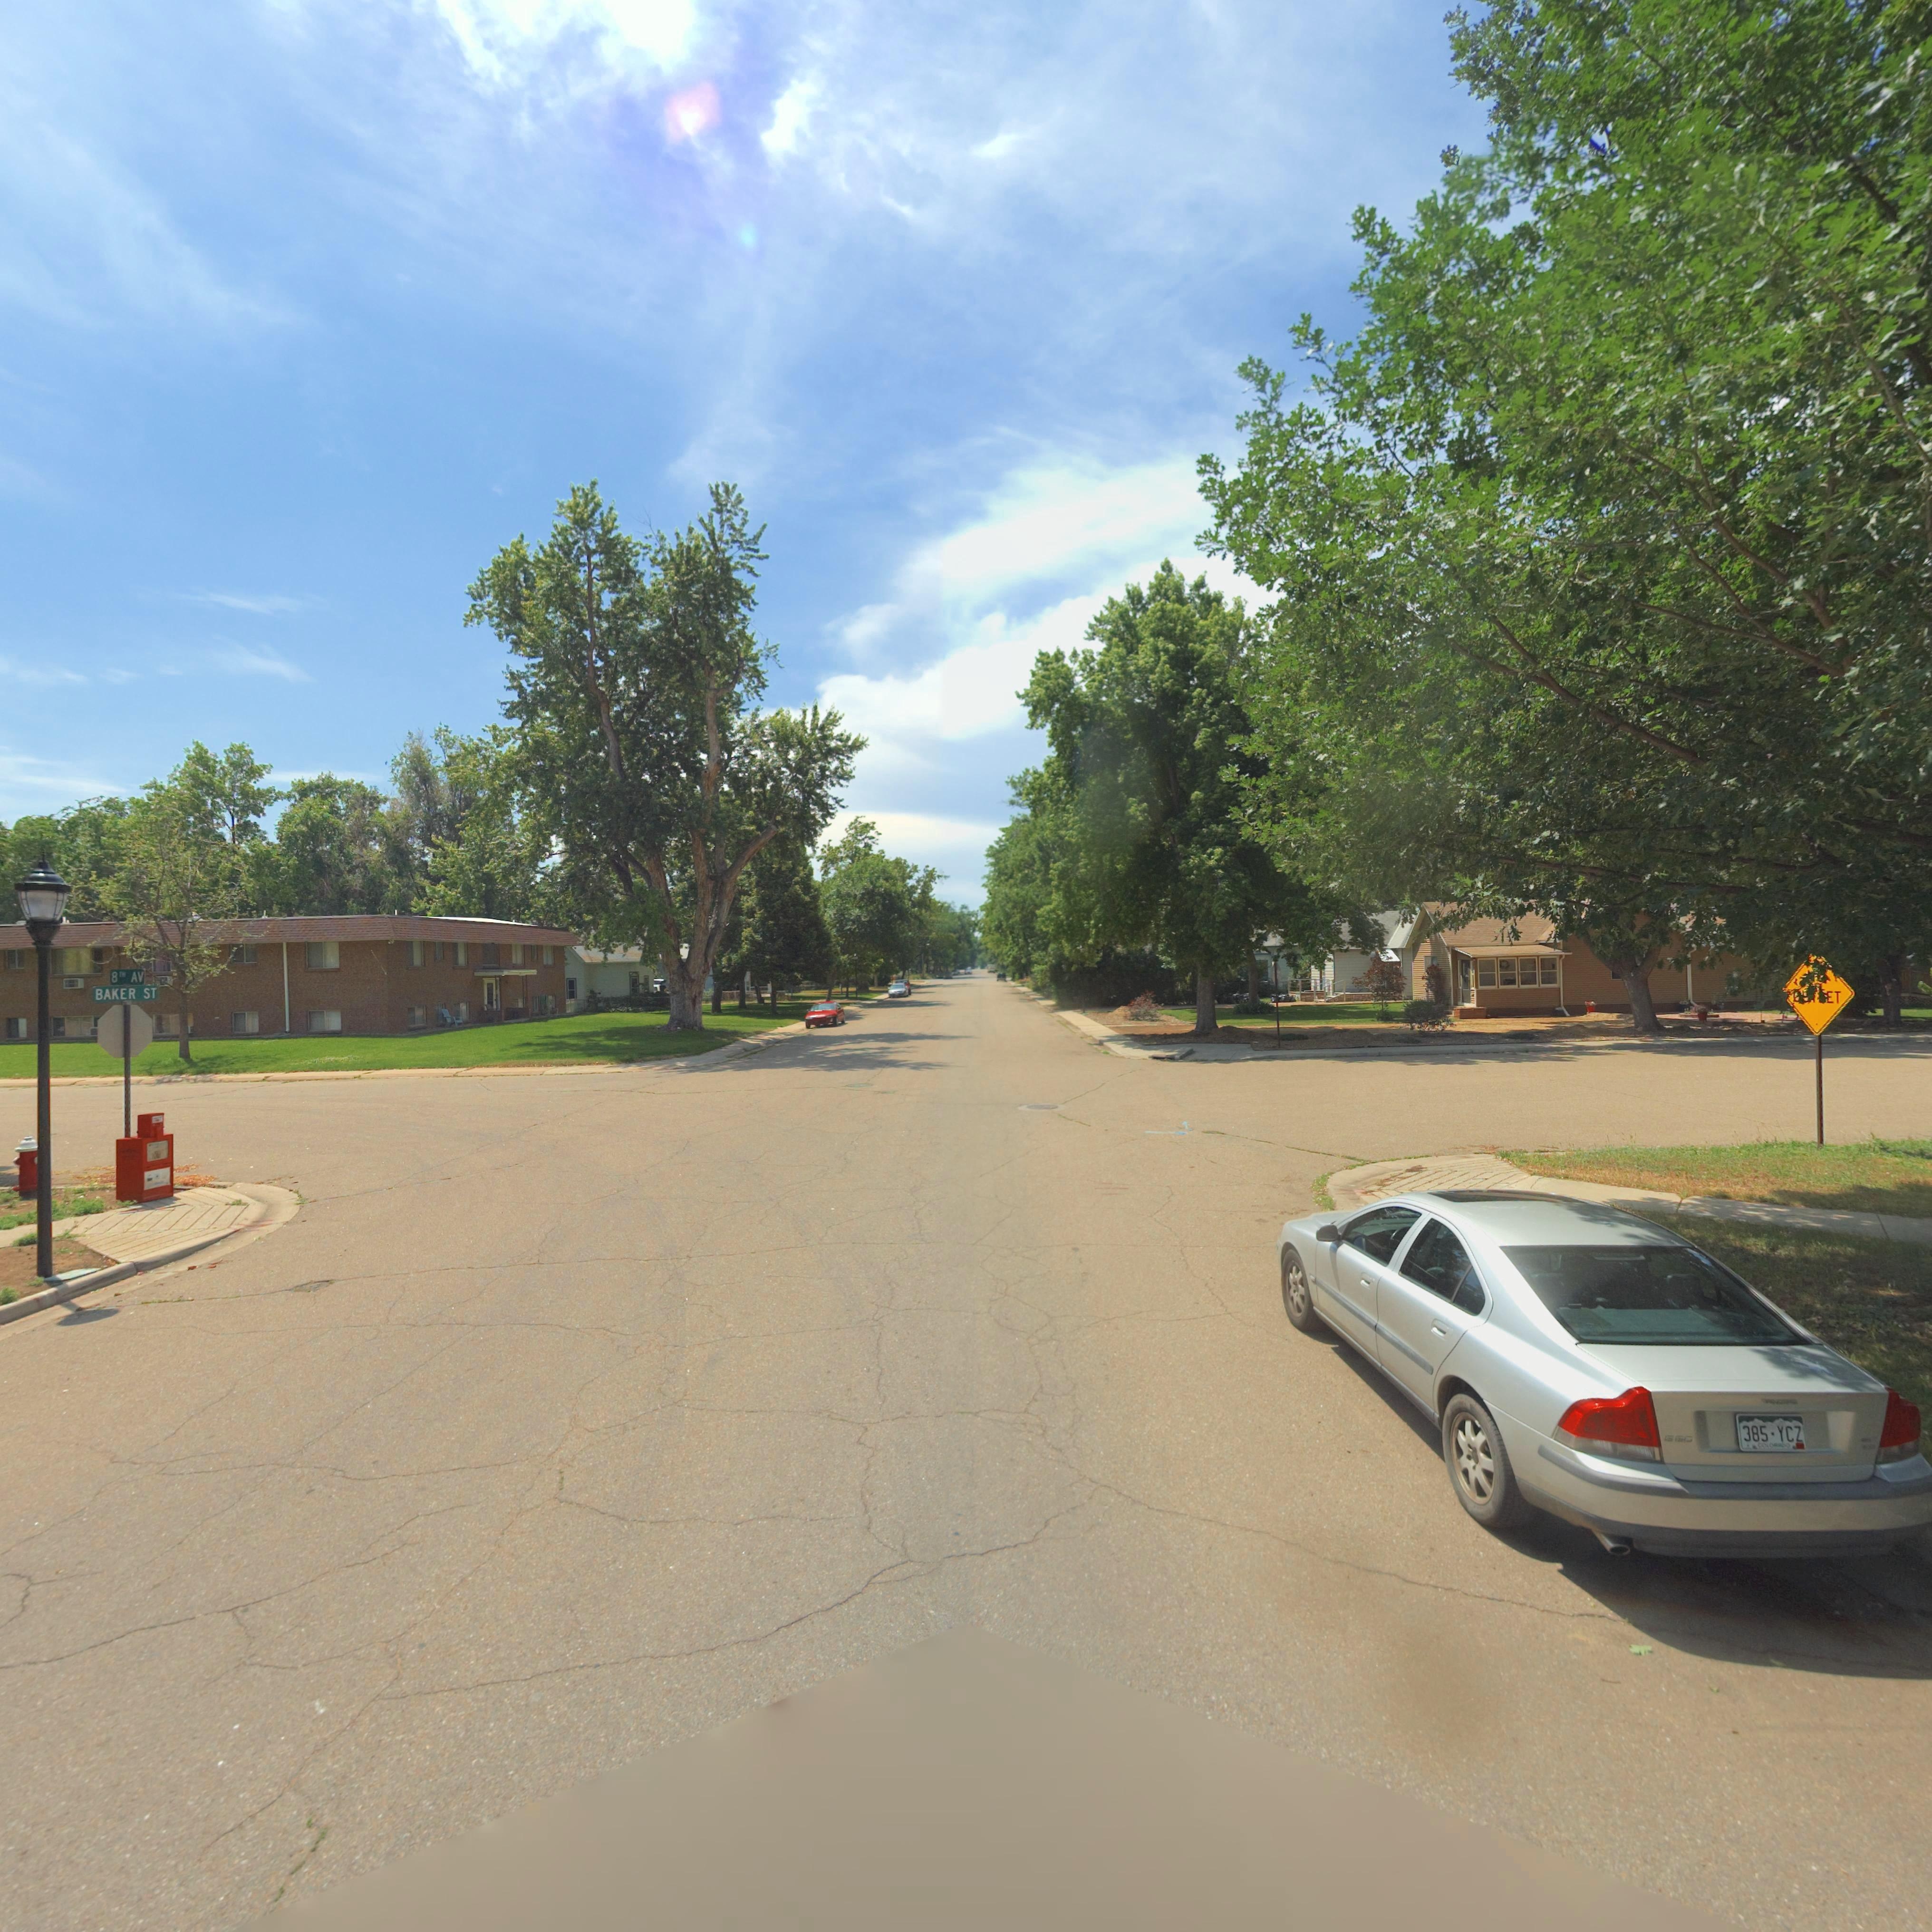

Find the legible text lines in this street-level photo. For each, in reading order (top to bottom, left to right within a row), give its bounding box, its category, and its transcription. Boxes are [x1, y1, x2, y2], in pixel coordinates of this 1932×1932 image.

[110, 971, 144, 983] StreetName: 8TH AV
[95, 987, 157, 1001] StreetName: BAKER ST